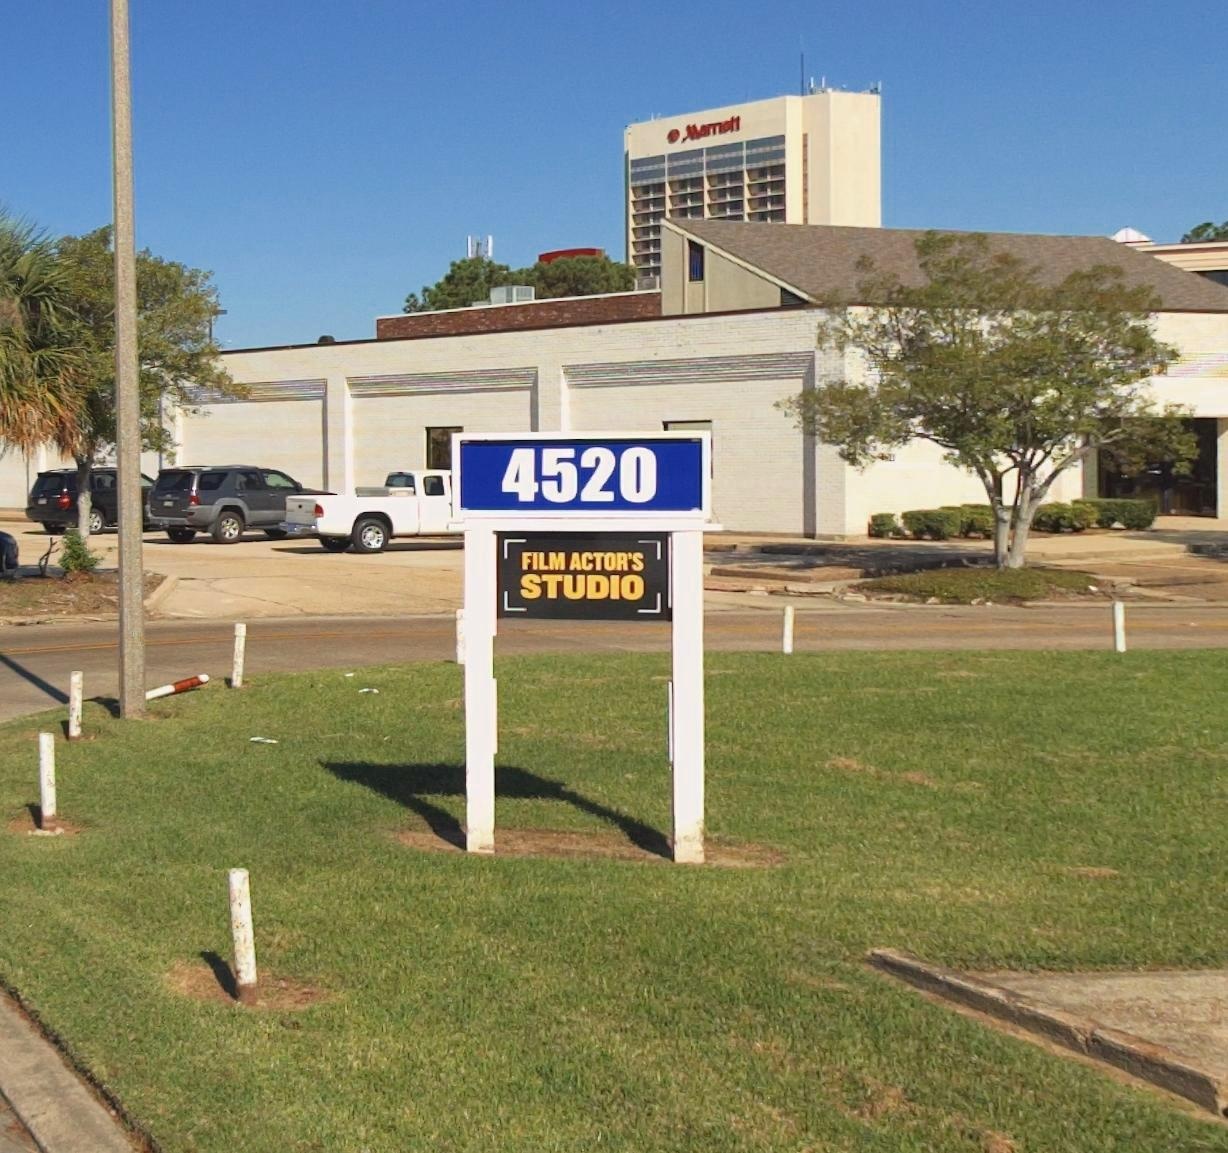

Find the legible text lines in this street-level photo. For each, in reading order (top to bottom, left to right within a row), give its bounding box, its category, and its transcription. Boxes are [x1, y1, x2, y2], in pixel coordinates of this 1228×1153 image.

[679, 113, 742, 145] BusinessName: Marriott
[499, 446, 658, 504] StreetNumber: 4520
[520, 550, 646, 573] BusinessName: FILM ACTOR'S
[519, 572, 646, 602] BusinessName: STUDIO